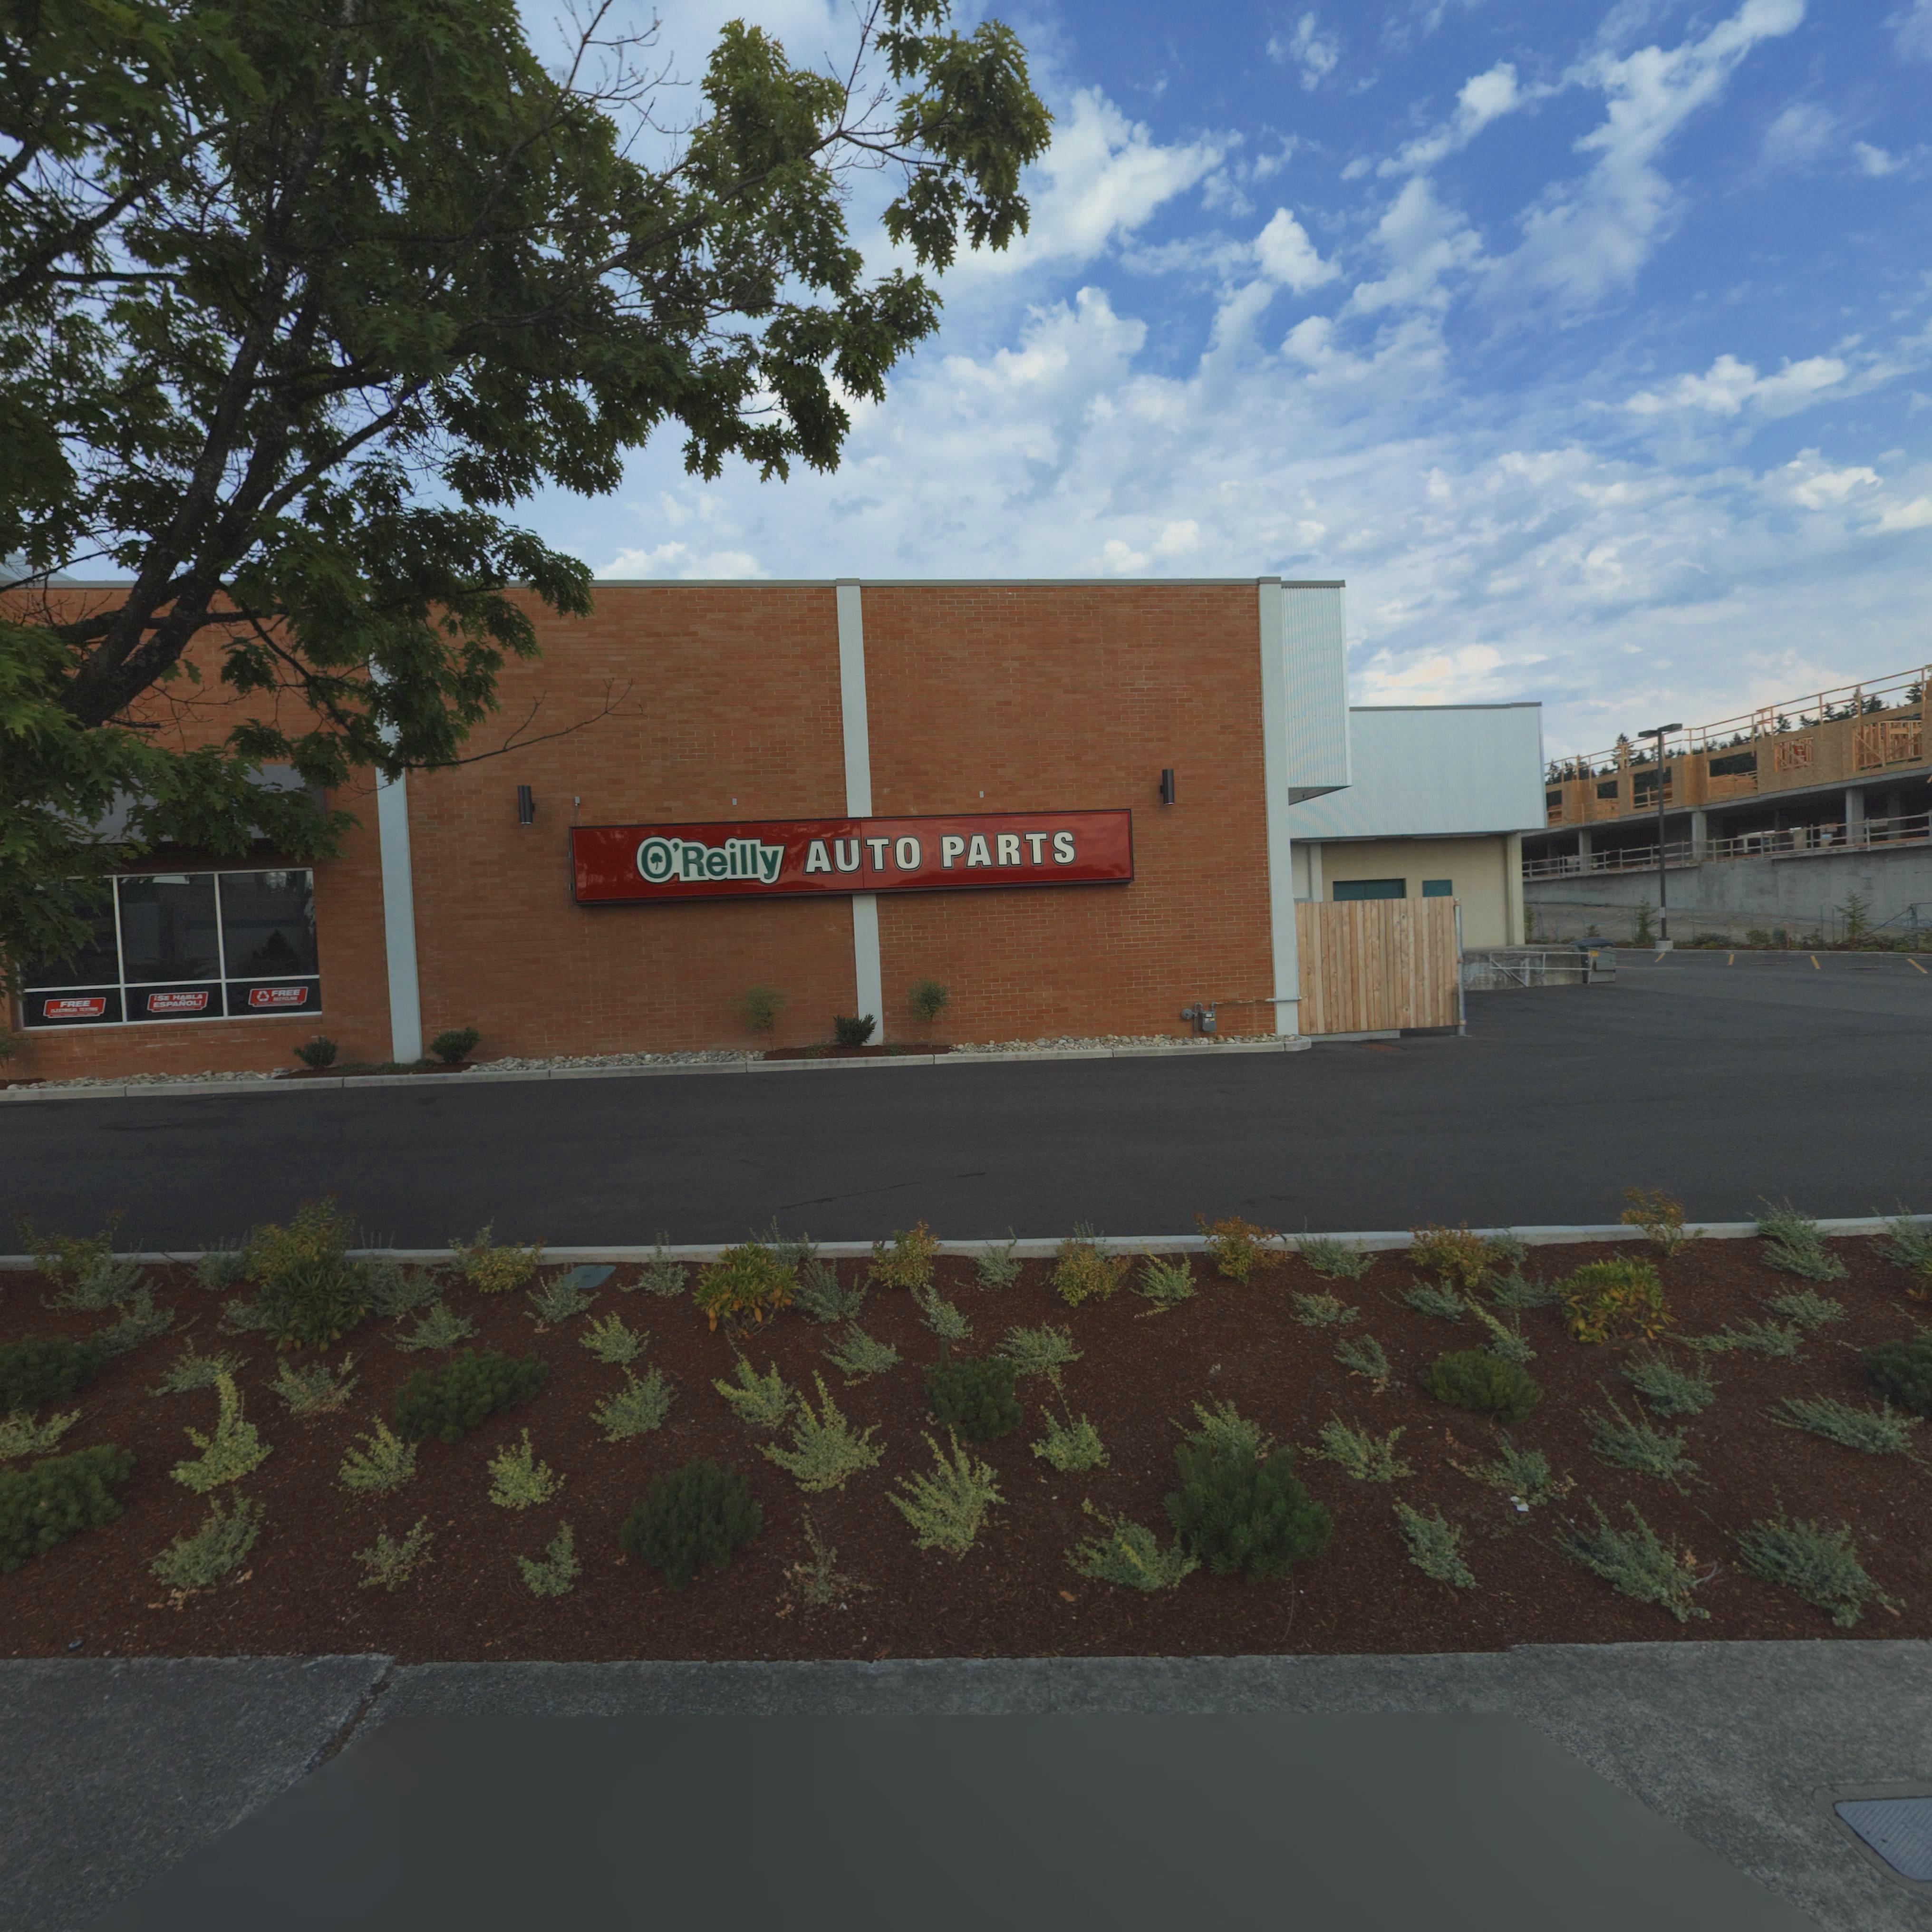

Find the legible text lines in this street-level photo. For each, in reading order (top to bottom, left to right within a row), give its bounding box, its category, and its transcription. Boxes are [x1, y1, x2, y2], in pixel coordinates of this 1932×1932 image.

[635, 835, 786, 885] BusinessName: O'Reilly
[802, 831, 1077, 875] BusinessName: AUTO PARTS